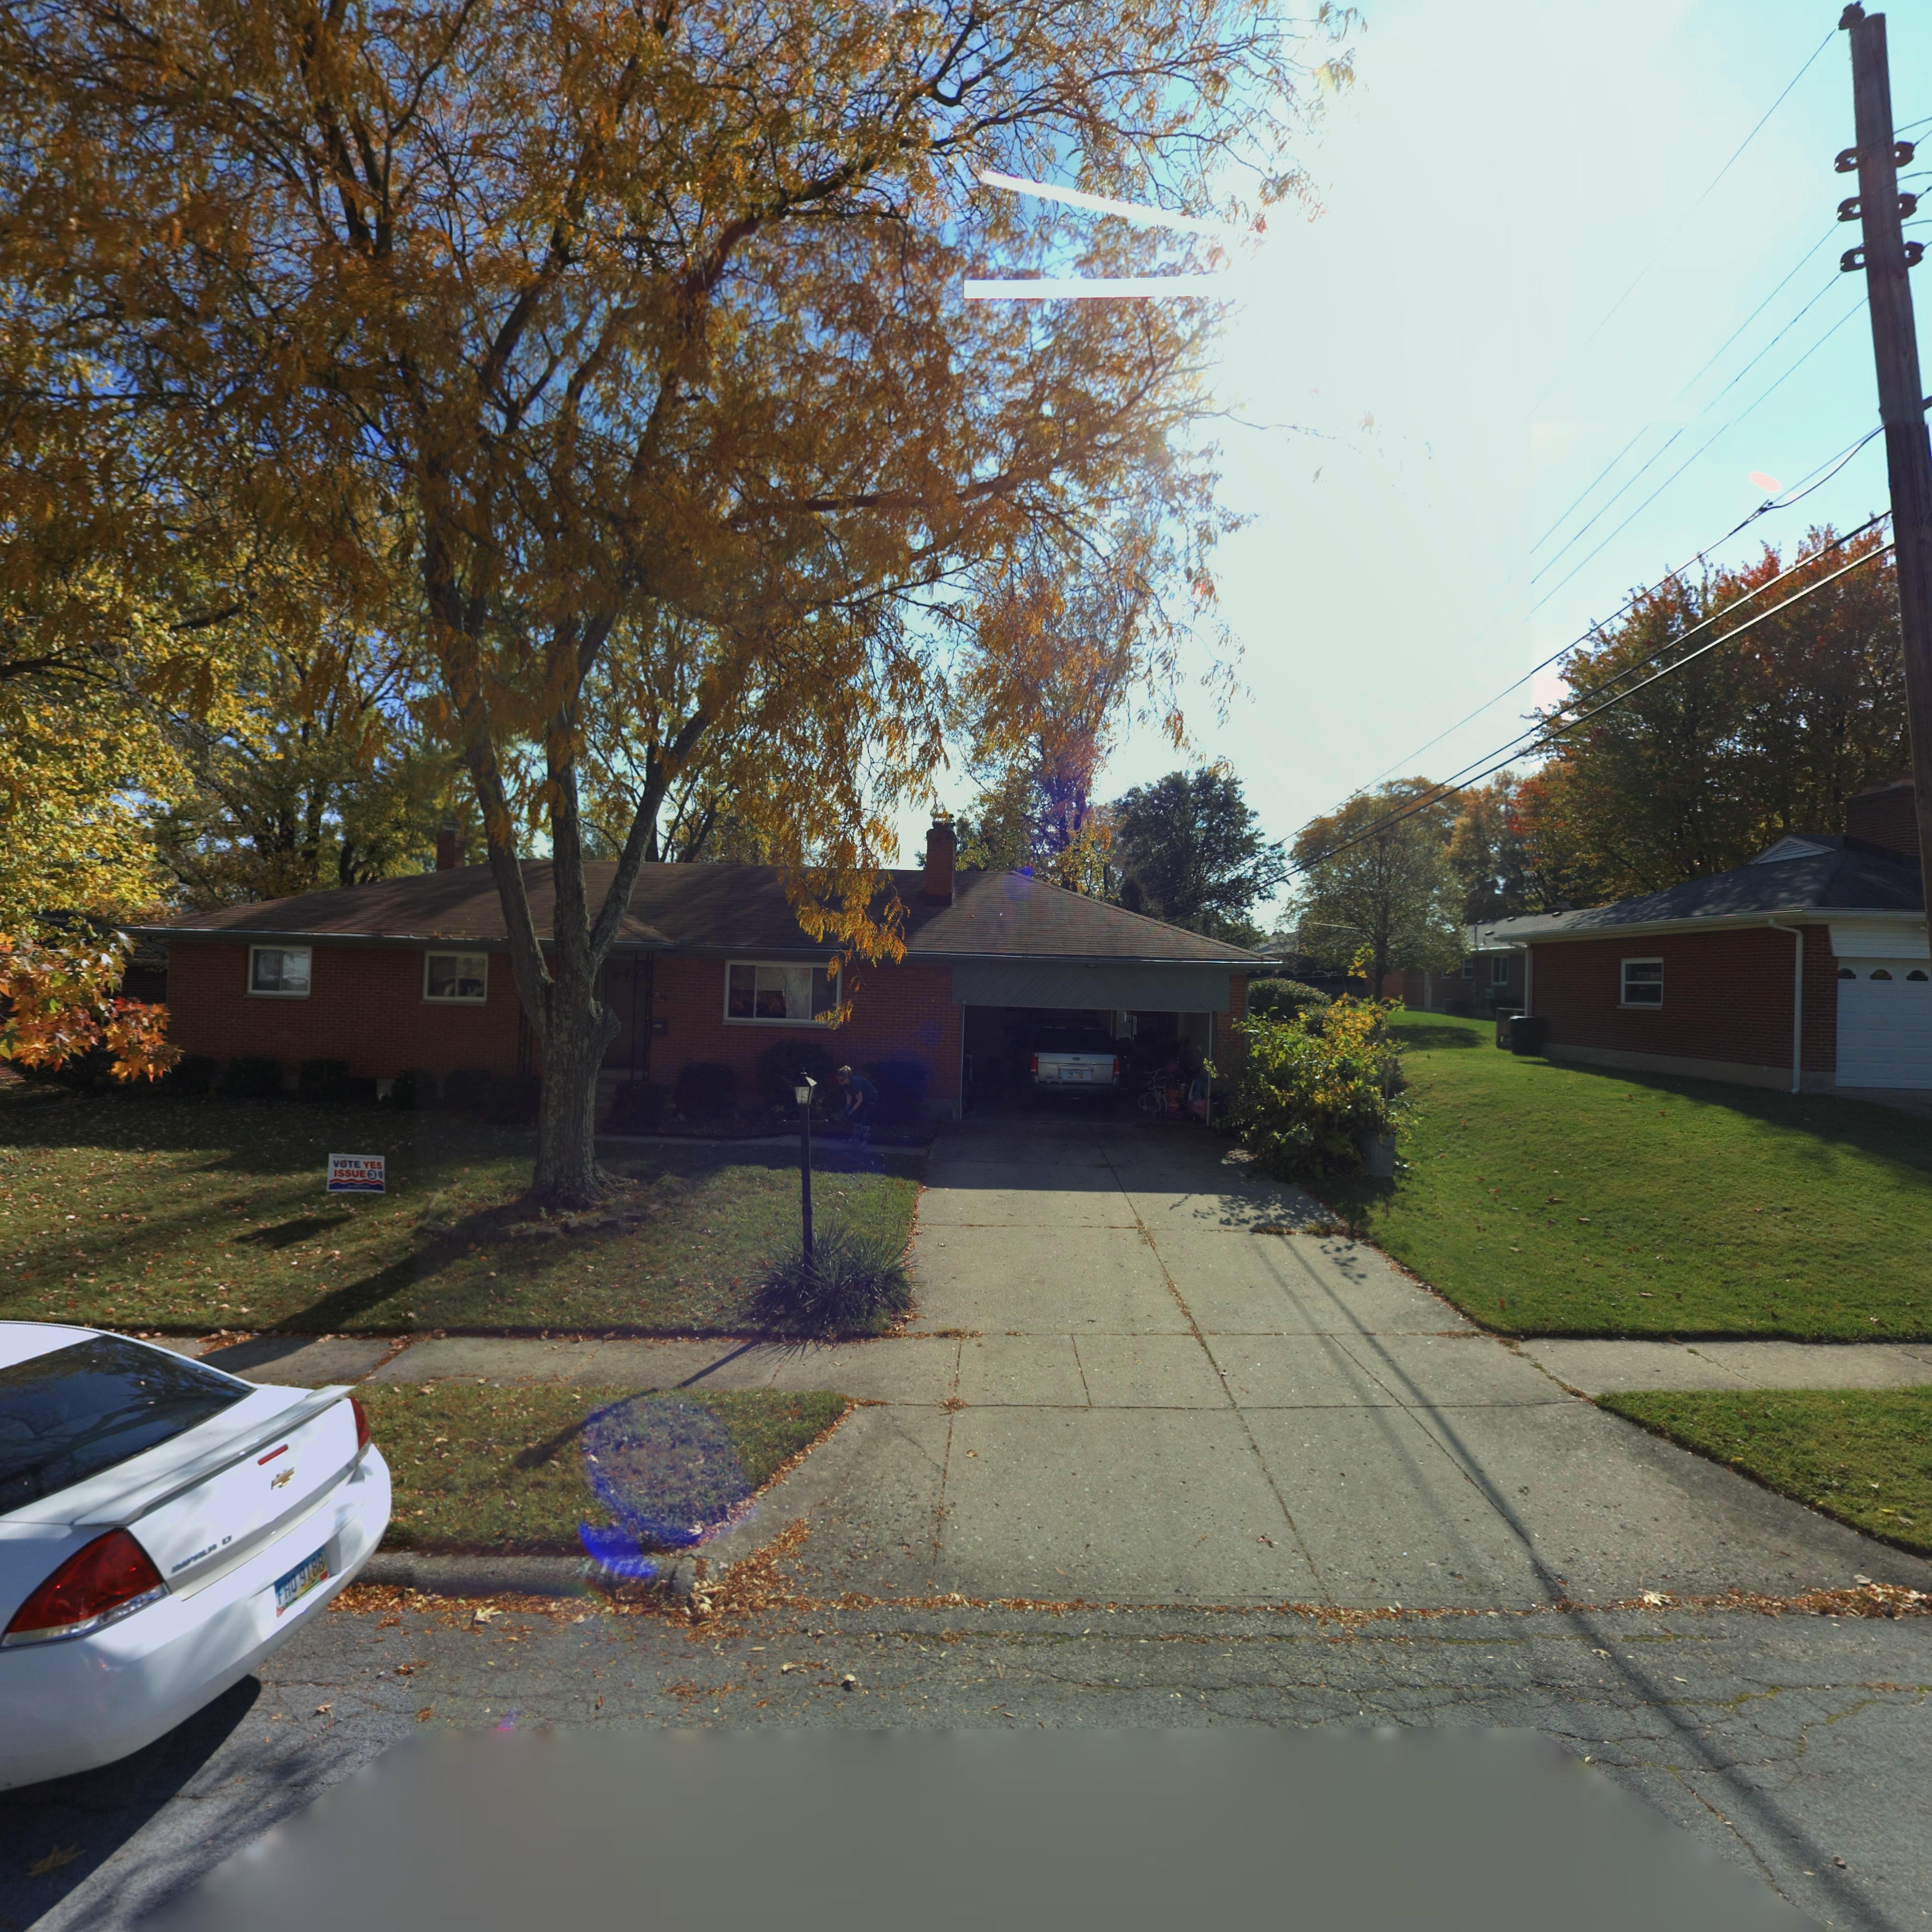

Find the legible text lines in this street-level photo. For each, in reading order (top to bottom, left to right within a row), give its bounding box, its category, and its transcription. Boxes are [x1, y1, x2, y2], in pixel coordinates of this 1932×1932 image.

[616, 950, 633, 957] StreetNumber: 1106